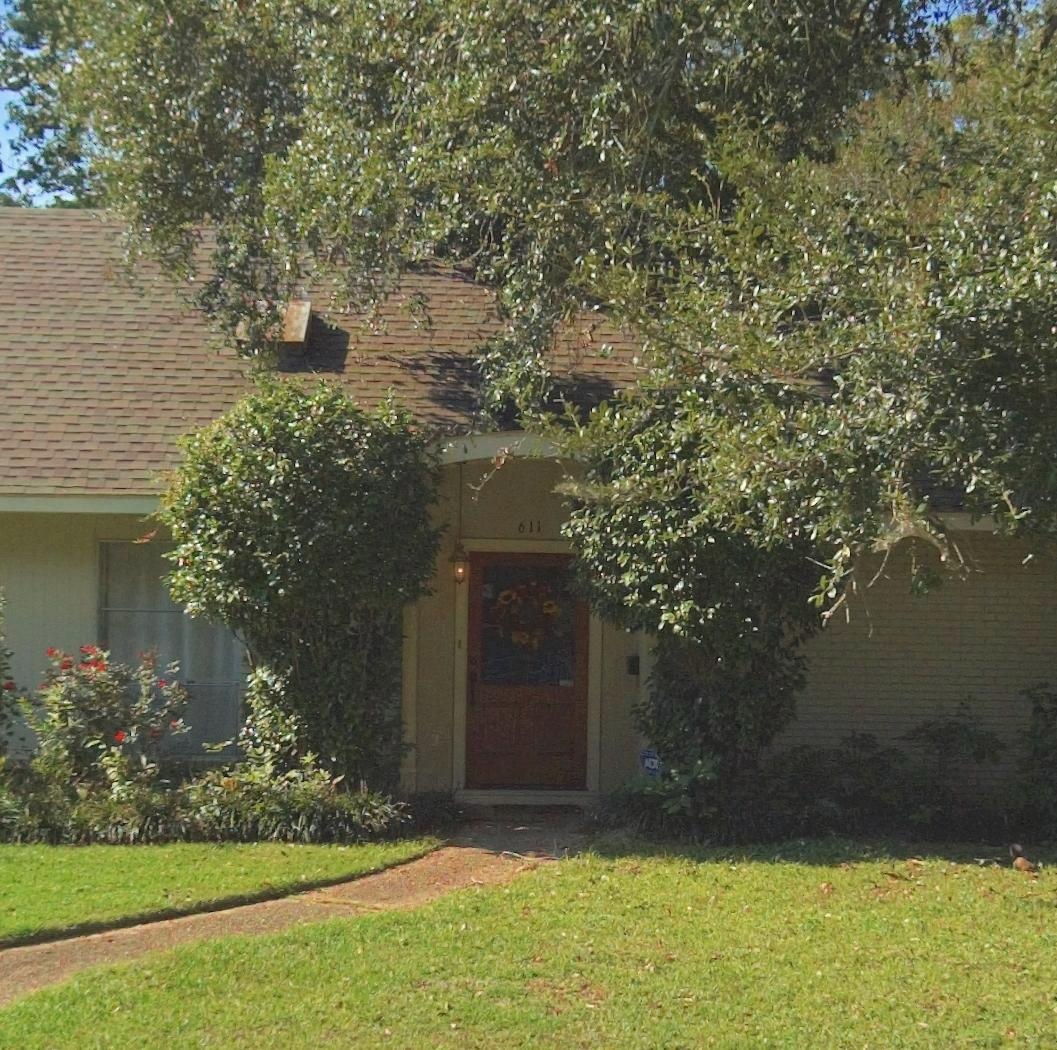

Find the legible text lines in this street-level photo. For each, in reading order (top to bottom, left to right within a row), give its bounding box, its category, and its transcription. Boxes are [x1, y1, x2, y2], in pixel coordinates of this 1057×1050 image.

[518, 519, 542, 533] StreetNumber: 611
[643, 757, 659, 769] None: ADT